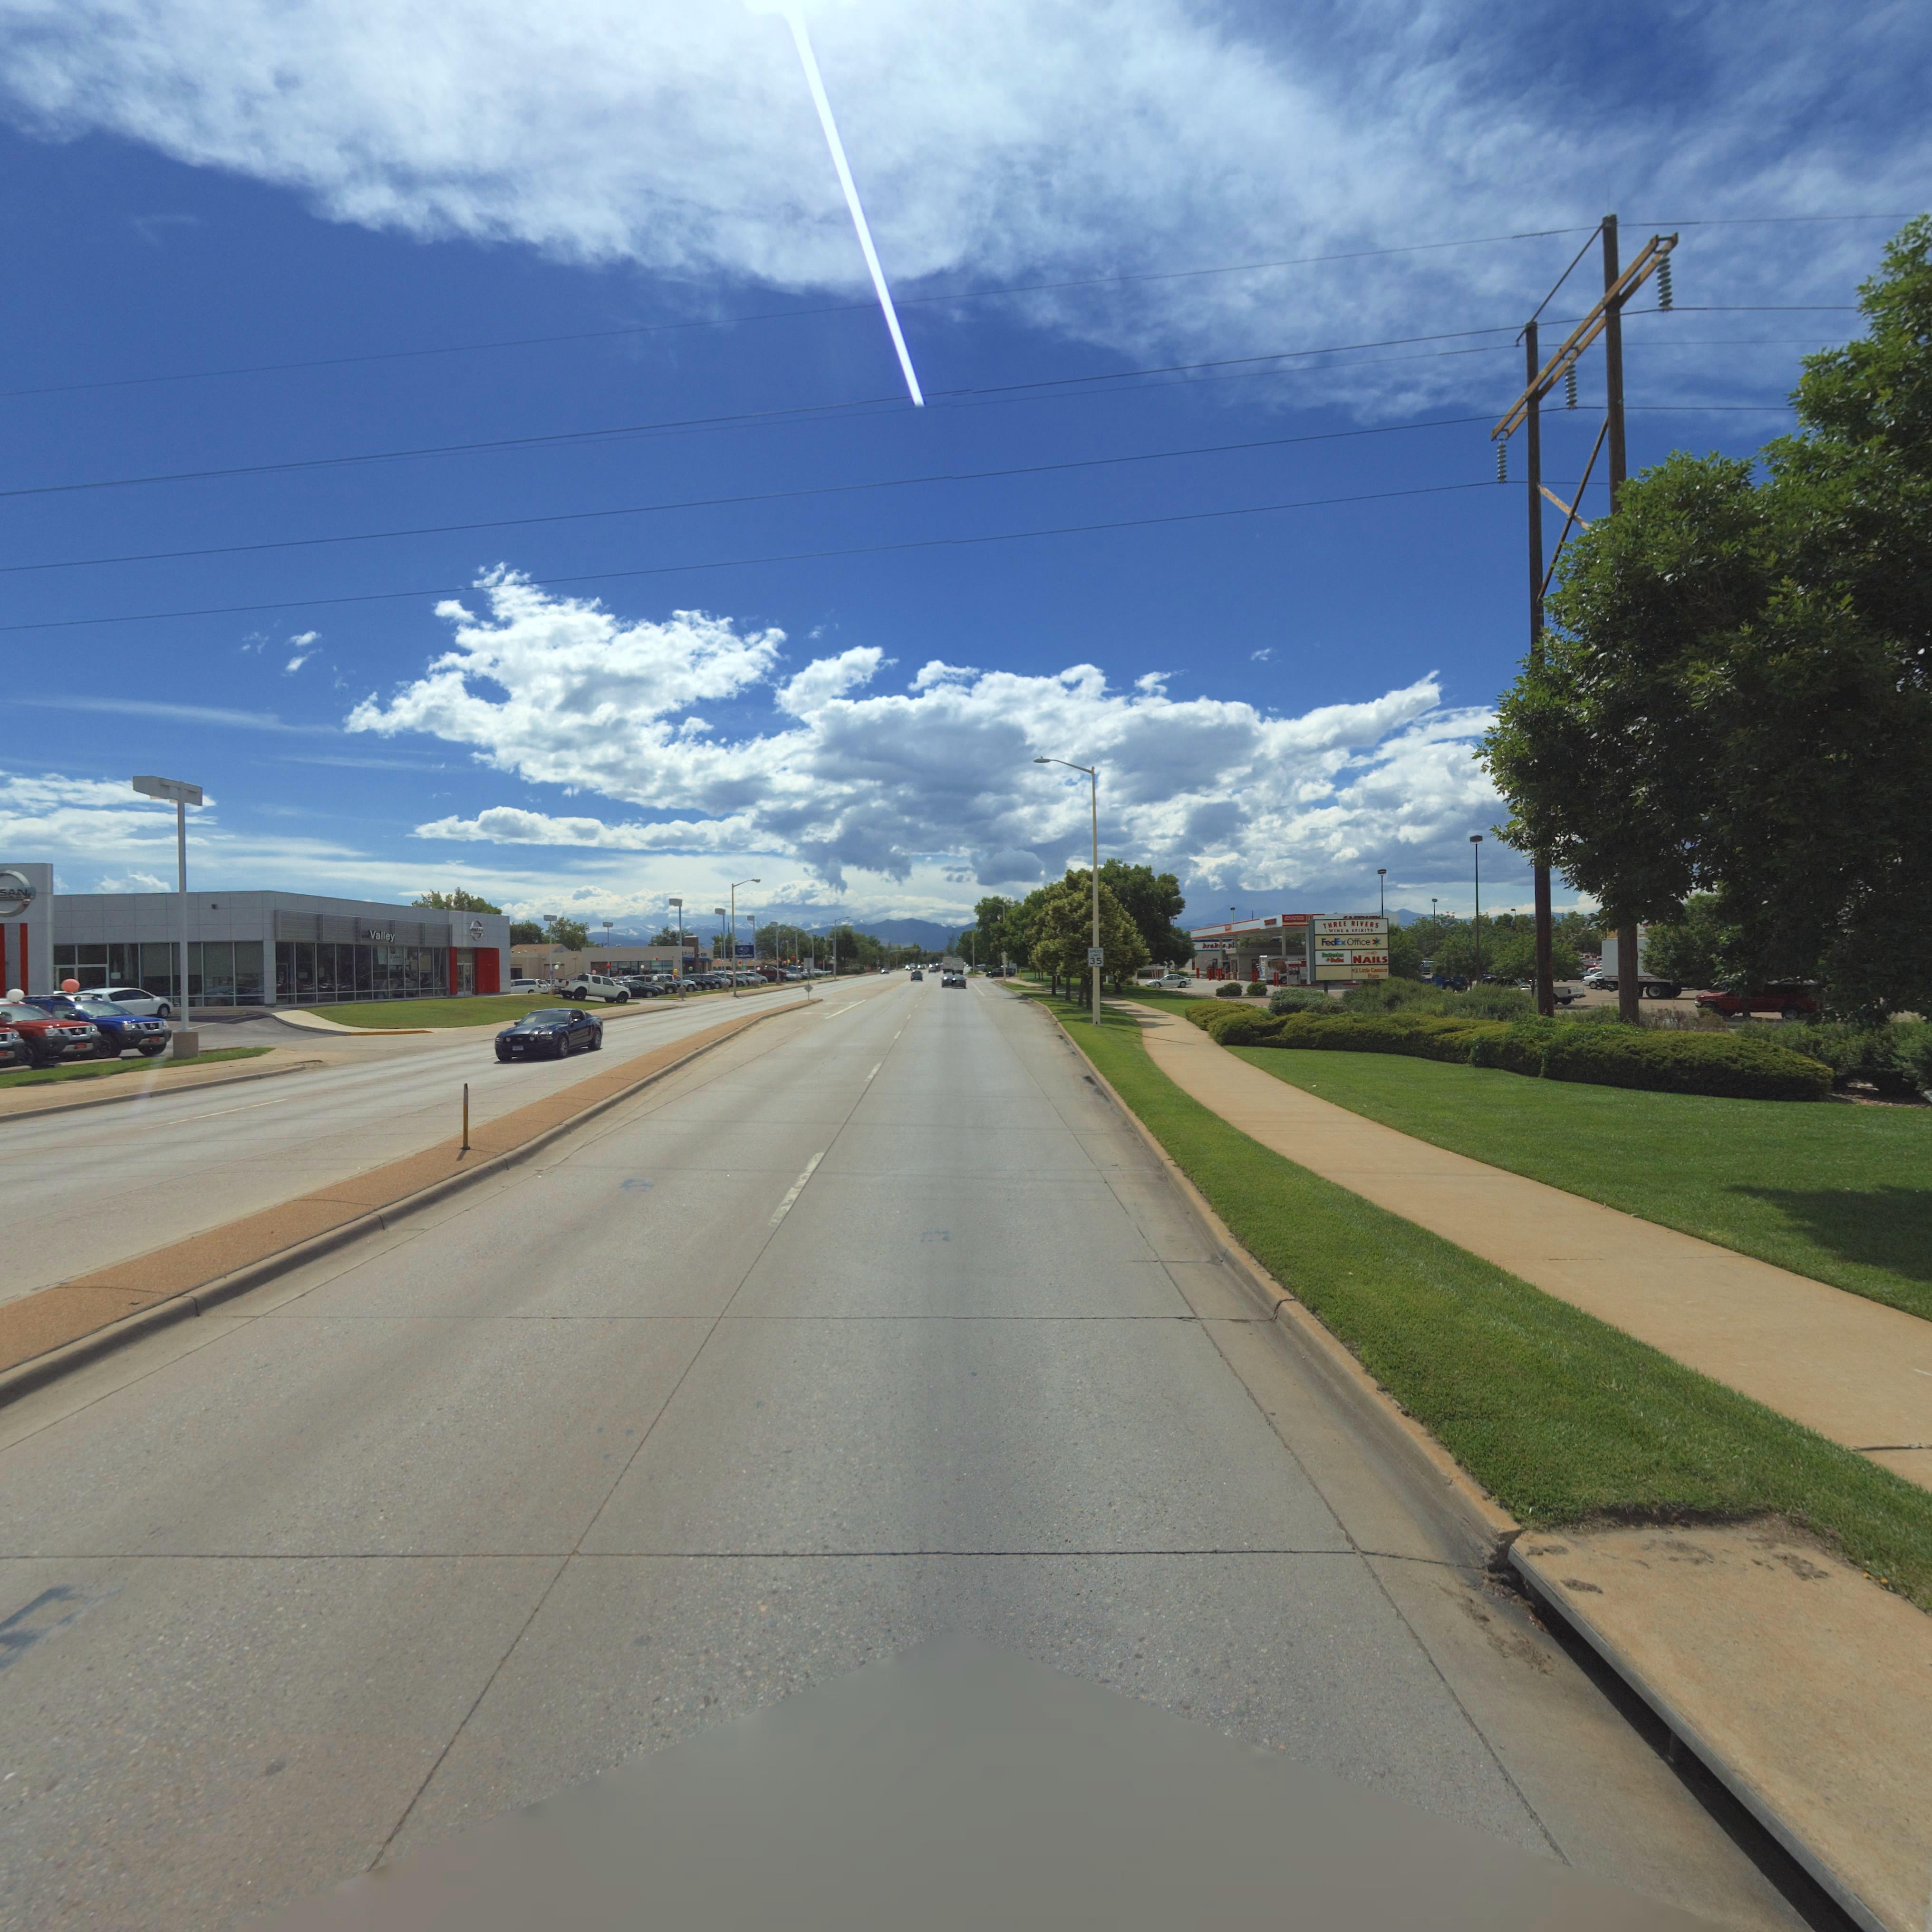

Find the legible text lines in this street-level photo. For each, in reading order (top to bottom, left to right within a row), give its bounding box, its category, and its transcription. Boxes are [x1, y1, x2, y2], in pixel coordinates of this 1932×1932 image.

[7, 888, 27, 896] BusinessName: AN
[1263, 918, 1276, 926] BusinessName: SAFEWAY
[1323, 920, 1379, 929] BusinessName: THREE RIVERS
[1328, 928, 1373, 932] BusinessName: WINE & SPIRITS
[368, 929, 395, 942] BusinessName: Valley
[1321, 937, 1370, 946] BusinessName: FedEx Office
[1202, 942, 1234, 948] BusinessName: brak*s p*
[682, 951, 694, 956] BusinessName: SUBARU
[734, 954, 753, 957] BusinessName: *UBARU
[1321, 952, 1344, 957] BusinessName: Batteries
[1362, 950, 1378, 956] BusinessName: Snappy
[1330, 957, 1344, 962] BusinessName: Bulbs
[1352, 955, 1388, 963] BusinessName: NAILS
[1358, 967, 1388, 973] BusinessName: Little Caesars
[1367, 973, 1380, 978] BusinessName: Pizza